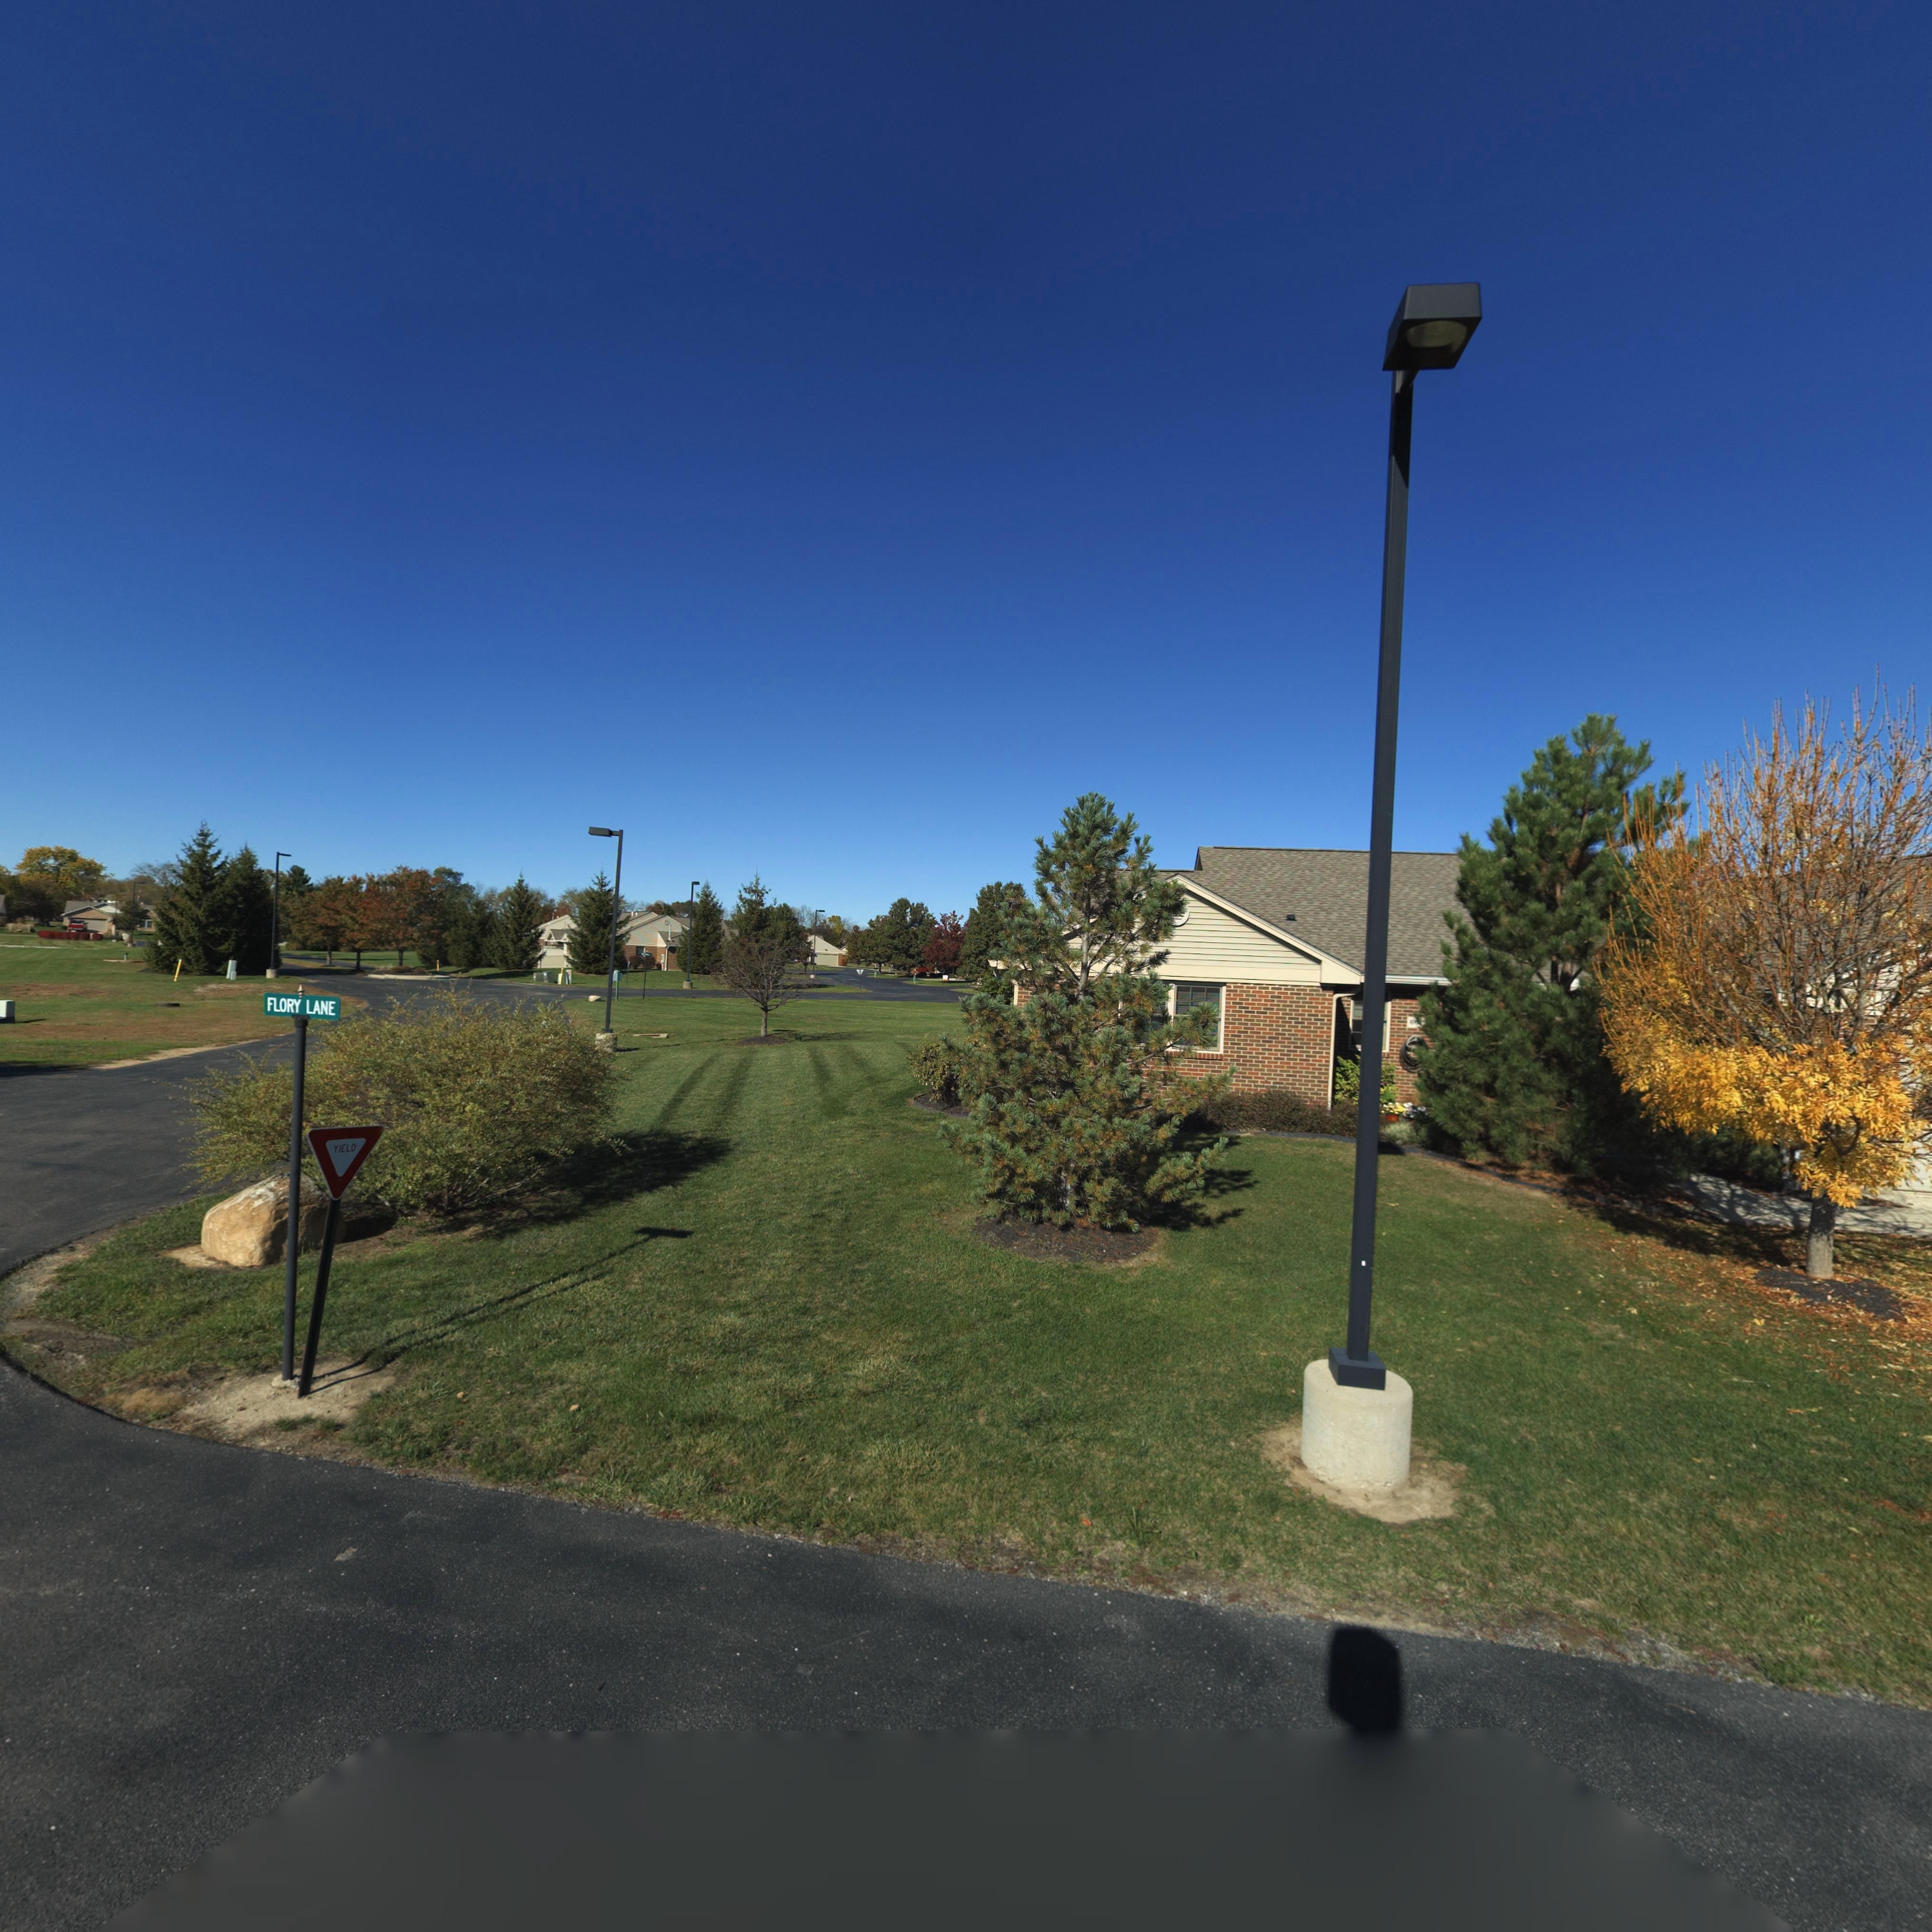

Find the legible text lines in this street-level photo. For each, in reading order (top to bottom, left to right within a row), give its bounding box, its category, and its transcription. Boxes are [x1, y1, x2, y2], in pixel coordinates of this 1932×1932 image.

[265, 995, 338, 1017] None: FLORY LANE
[1410, 1019, 1414, 1025] StreetNumber: 6
[333, 1141, 357, 1154] None: YIELD